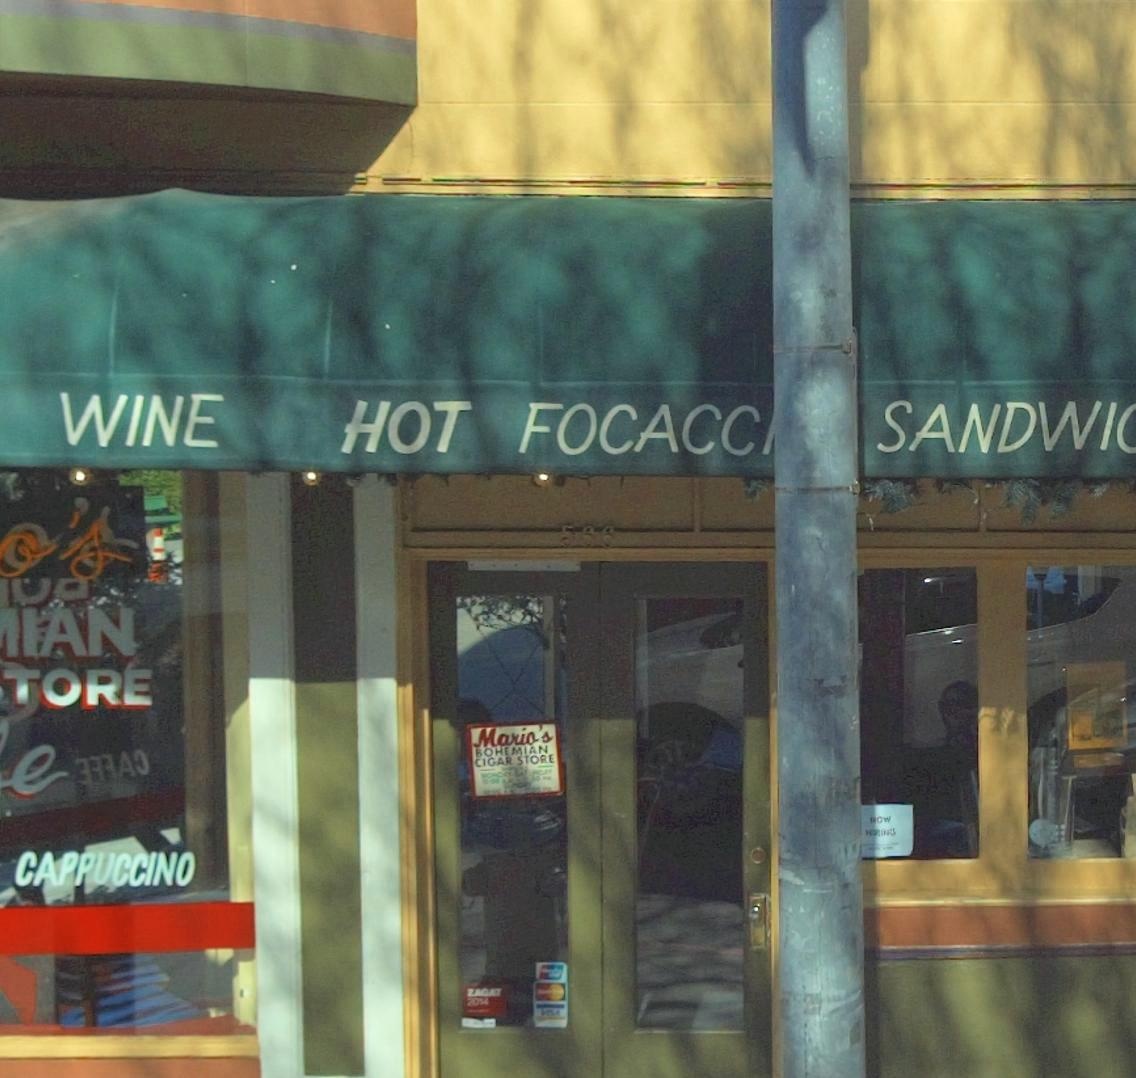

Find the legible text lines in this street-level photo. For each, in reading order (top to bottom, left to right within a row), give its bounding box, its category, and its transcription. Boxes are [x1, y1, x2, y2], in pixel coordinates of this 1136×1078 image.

[57, 390, 765, 460] None: WINE HOT FOCACC
[872, 397, 1122, 454] None: SANDWI
[557, 523, 617, 548] StreetNumber: 566
[20, 599, 141, 663] BusinessName: IAN
[0, 665, 156, 709] BusinessName: TORE
[471, 724, 557, 749] BusinessName: Marios
[474, 744, 549, 757] BusinessName: BOHEMIAN
[472, 753, 556, 769] BusinessName: CIGAR STORE
[869, 815, 893, 825] None: NOW
[11, 847, 197, 889] None: CAPPUCCINO
[465, 997, 491, 1007] None: 2014
[465, 987, 504, 998] None: ZAGAT
[539, 1007, 563, 1019] None: VISA